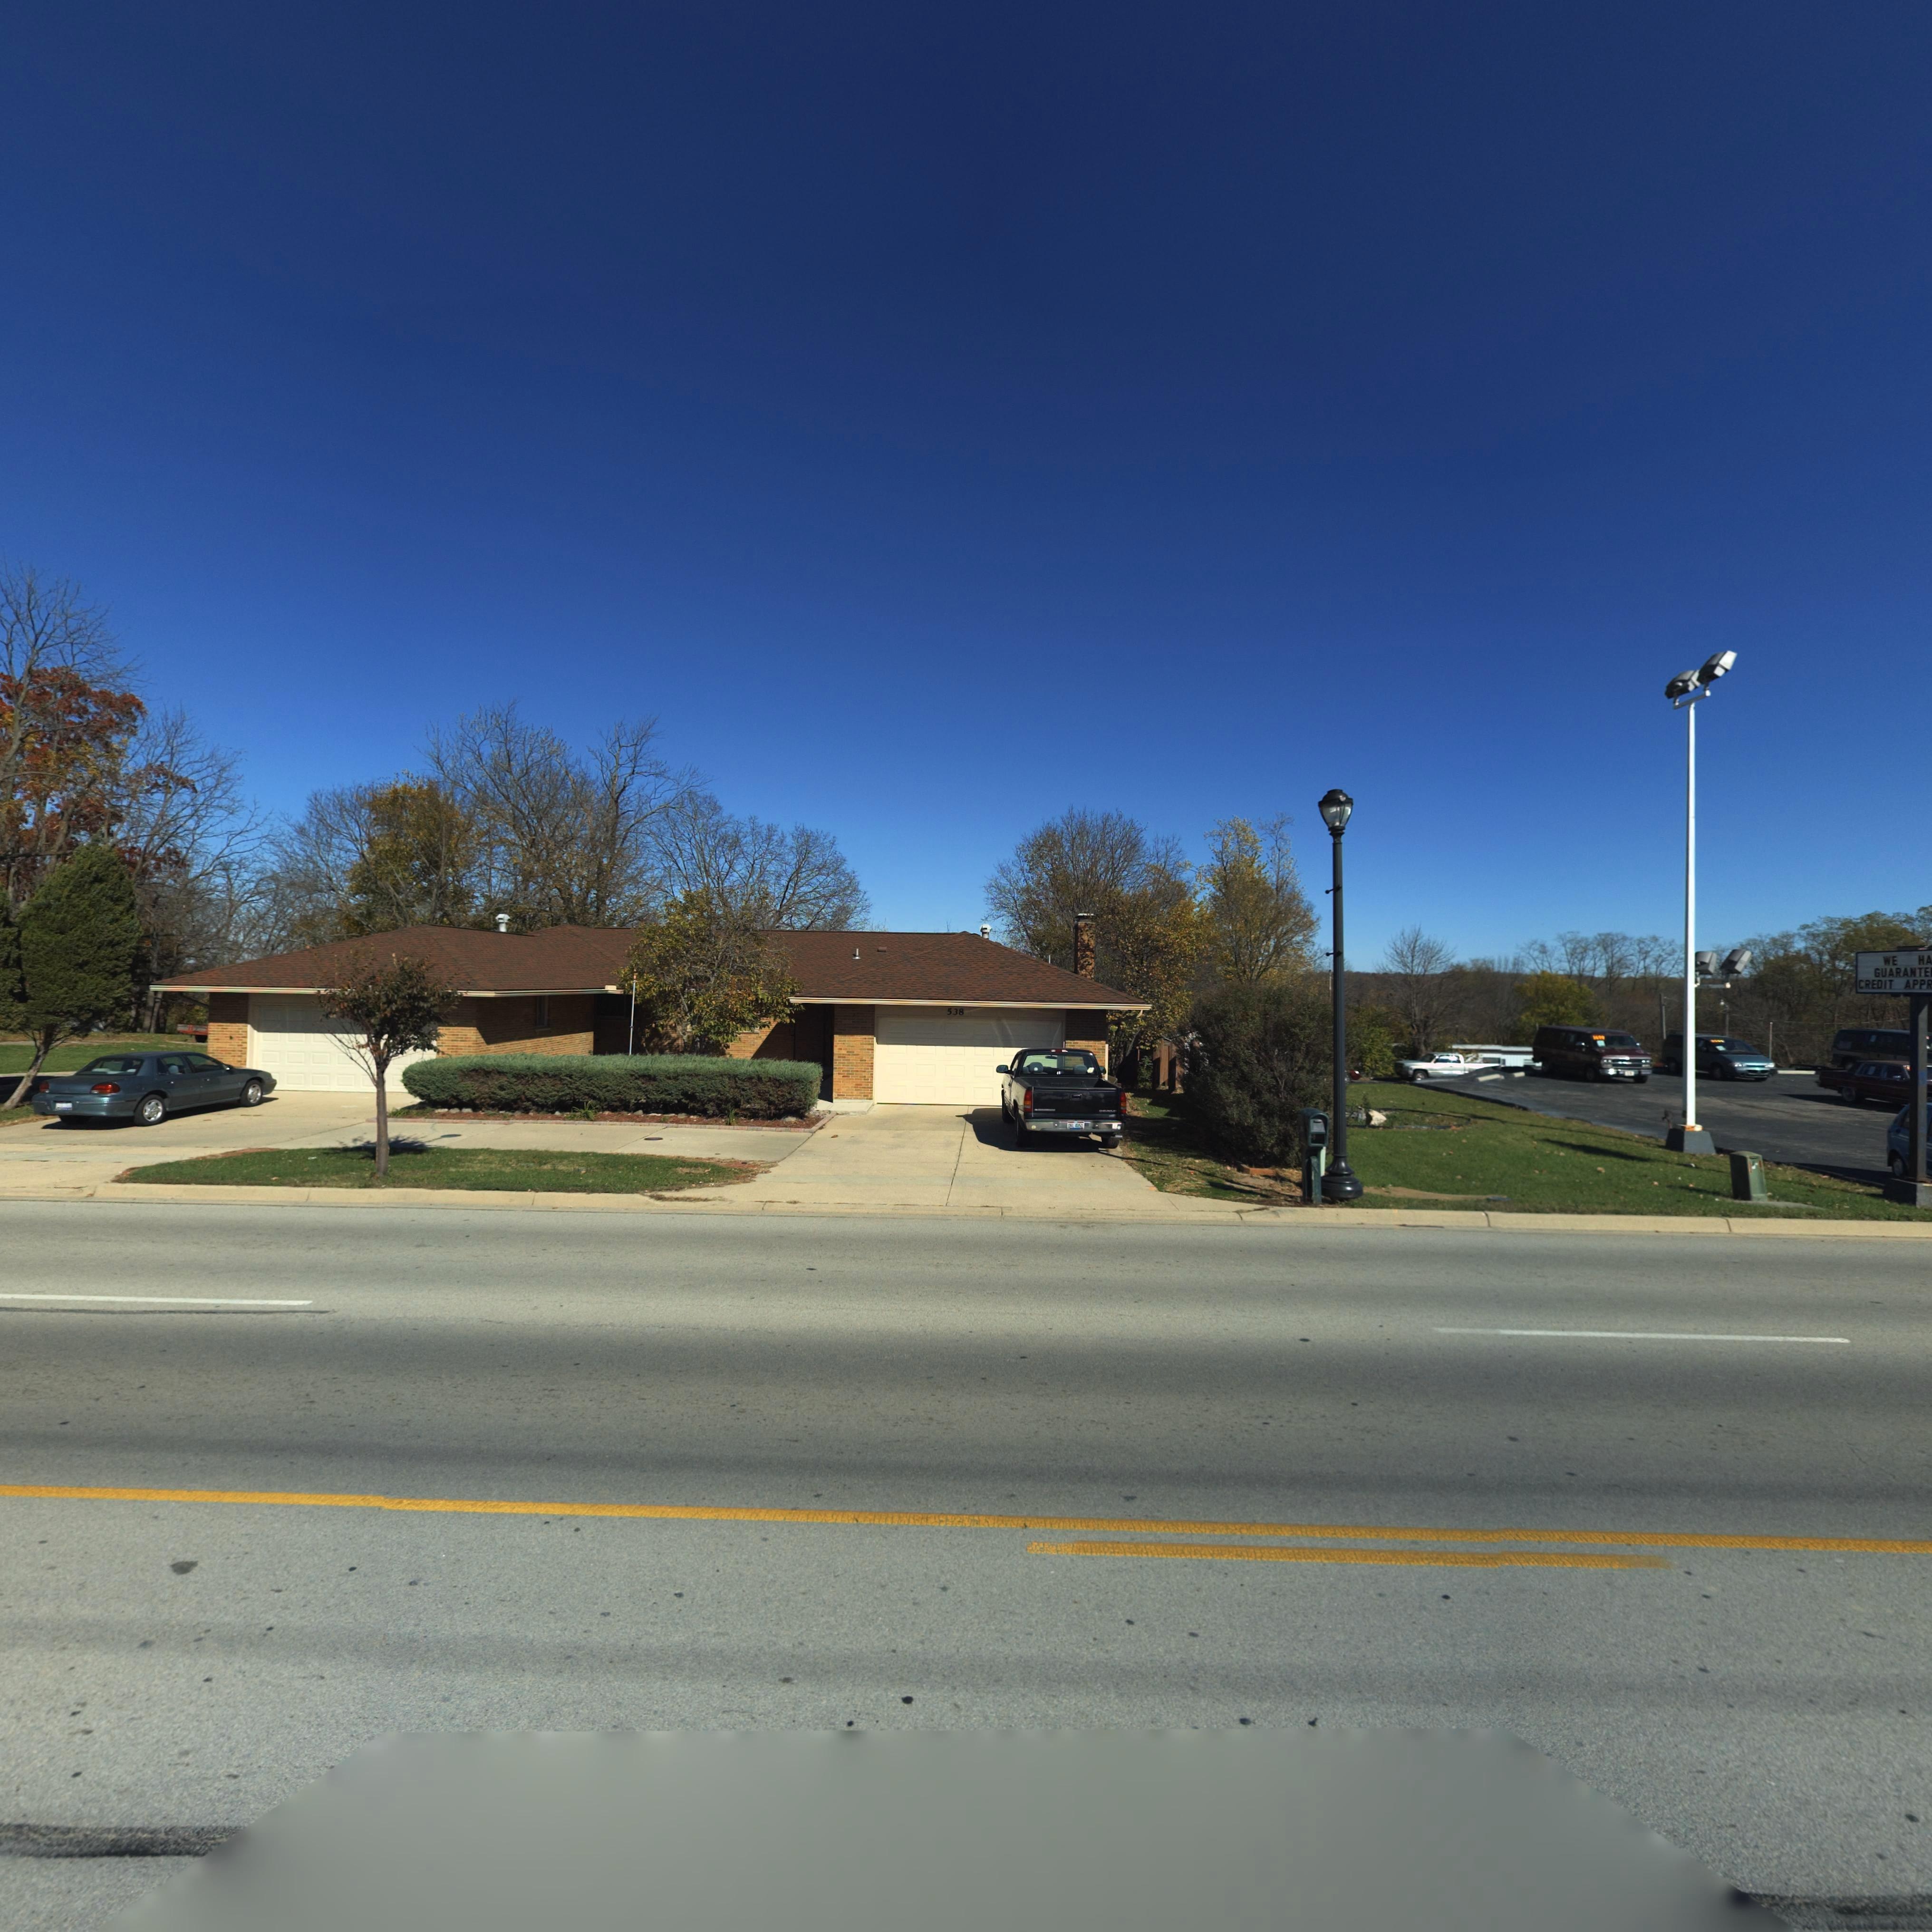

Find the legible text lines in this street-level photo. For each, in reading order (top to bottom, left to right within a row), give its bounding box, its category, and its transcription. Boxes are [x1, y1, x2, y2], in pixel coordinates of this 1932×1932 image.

[1882, 954, 1932, 966] None: WE HA
[1874, 966, 1930, 978] None: GUARANTE
[1857, 979, 1926, 990] None: CREDIT APP
[946, 1007, 966, 1017] StreetNumber: 538
[1067, 1123, 1083, 1129] None: **L*4*52